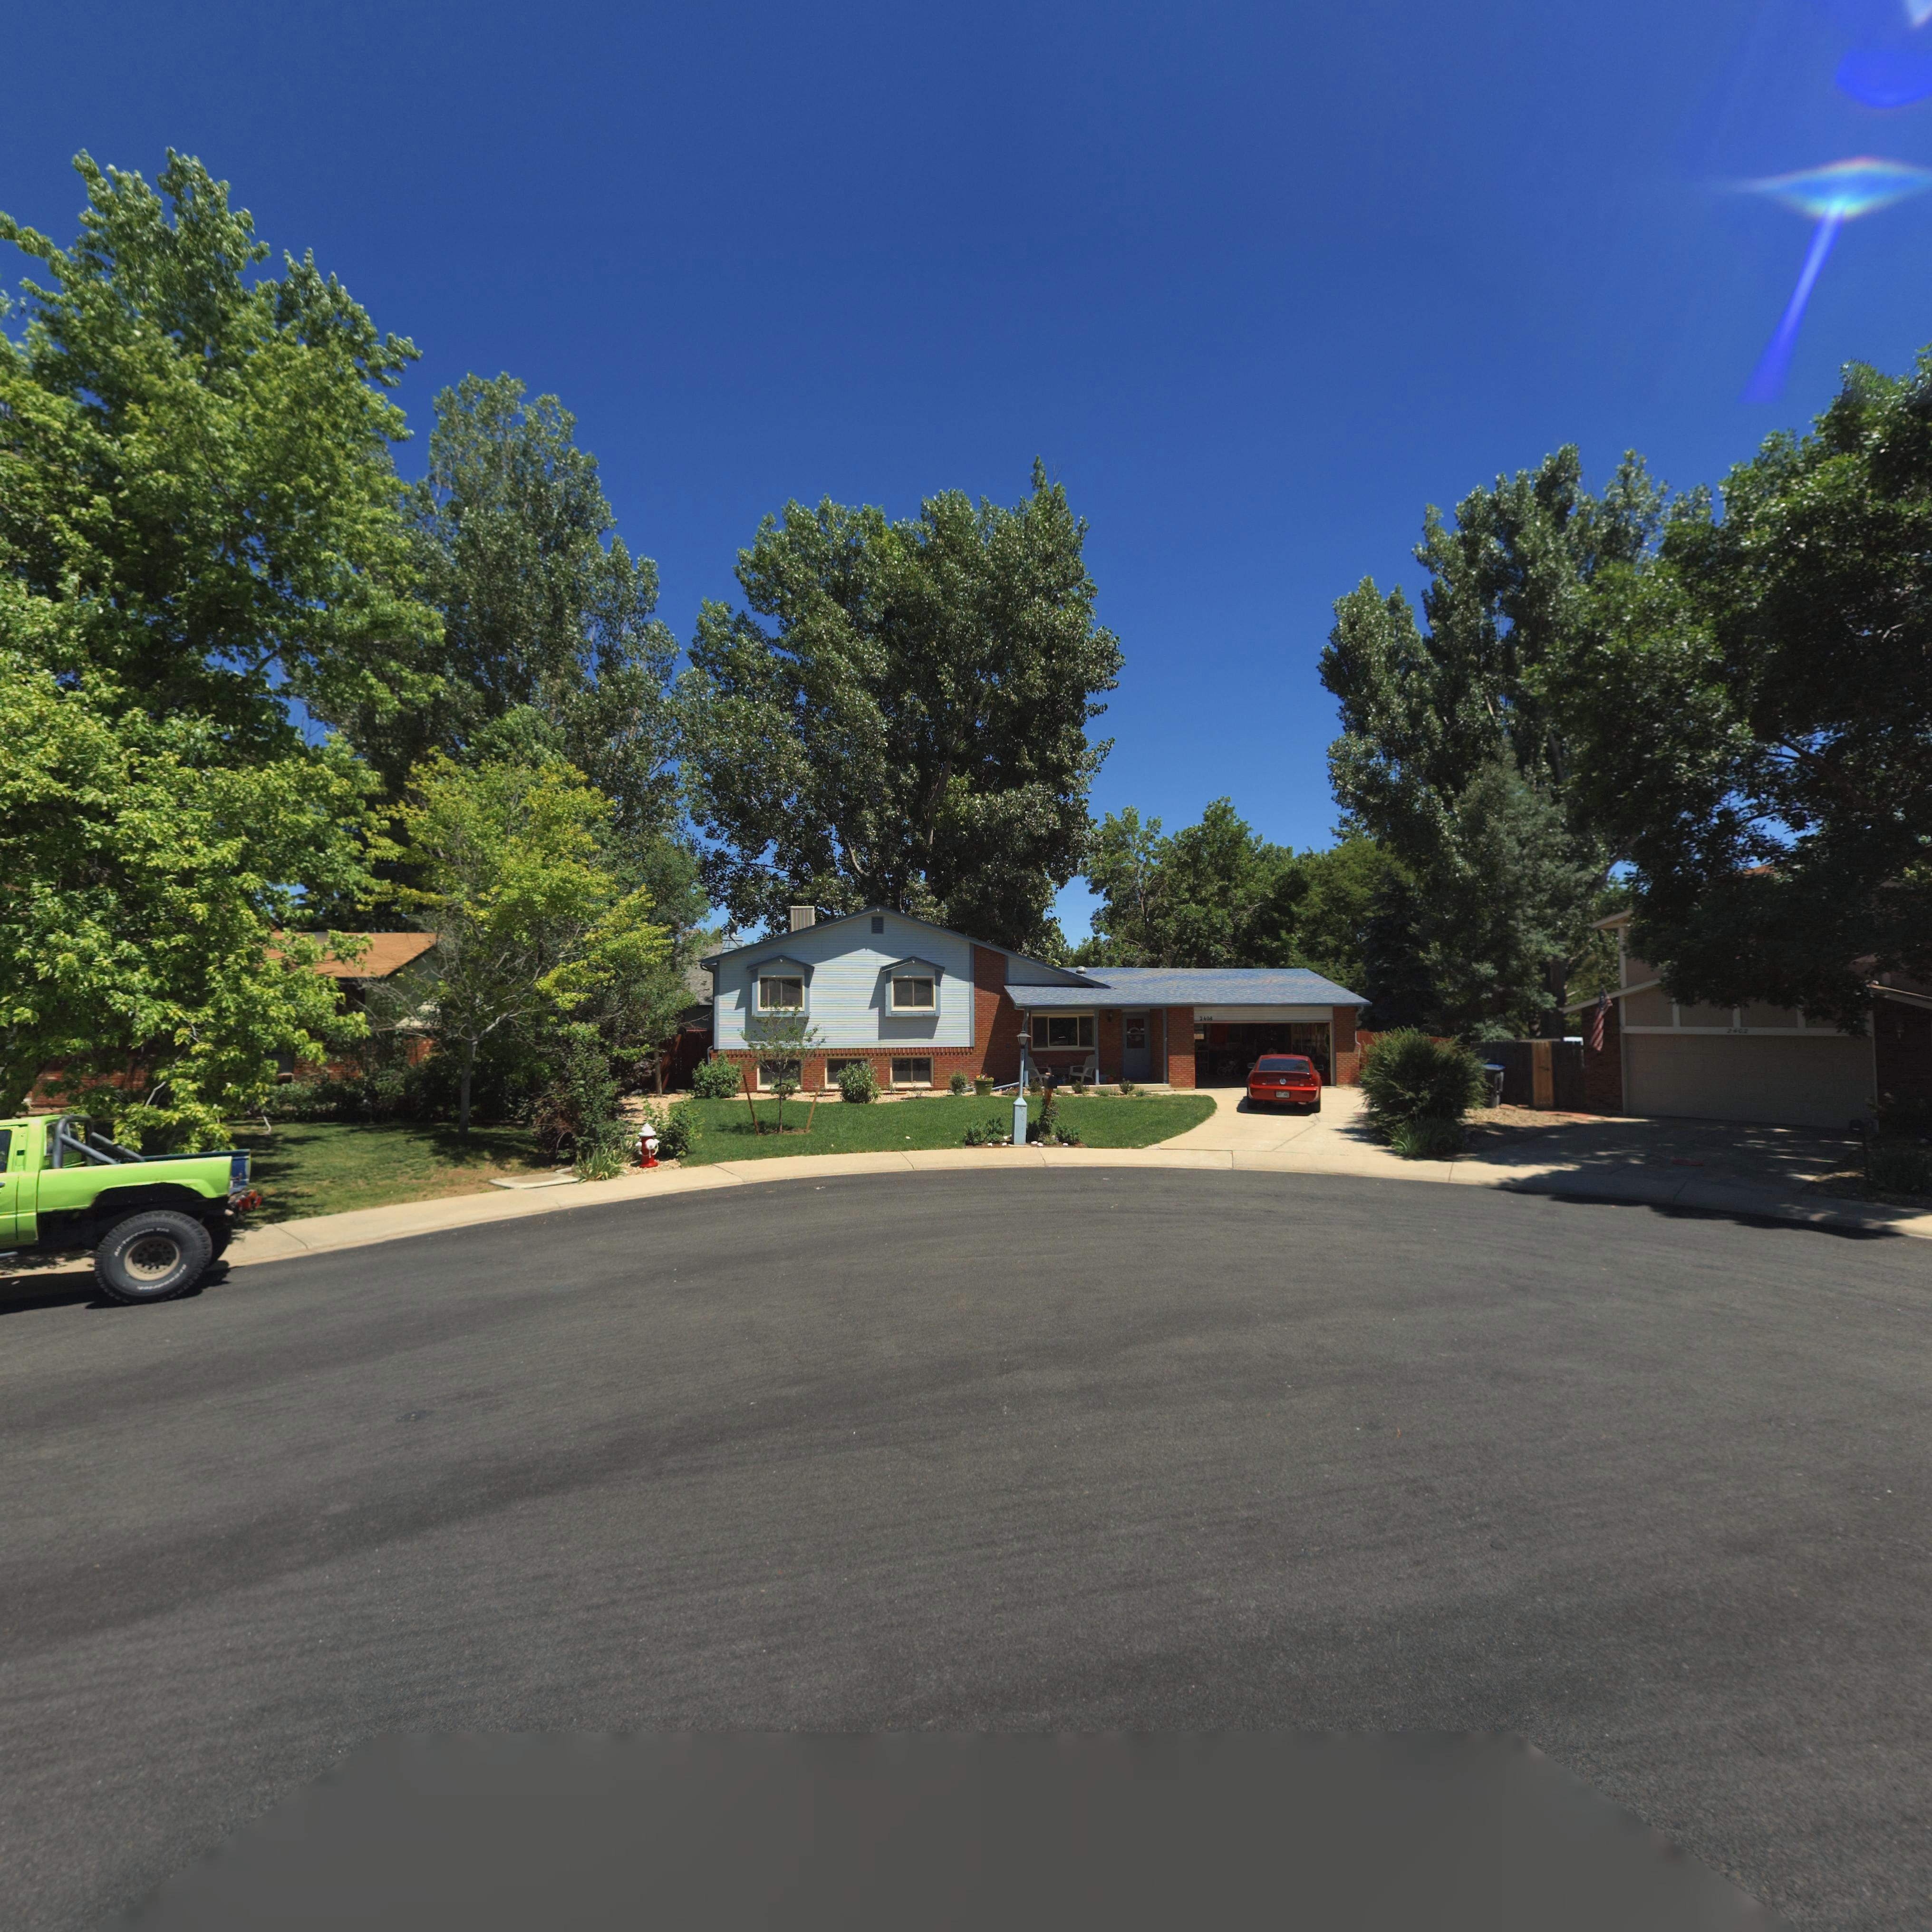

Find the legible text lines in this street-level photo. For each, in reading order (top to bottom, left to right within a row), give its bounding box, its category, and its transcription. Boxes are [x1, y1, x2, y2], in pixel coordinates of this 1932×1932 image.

[1199, 1016, 1213, 1021] StreetNumber: 2408
[1725, 1027, 1749, 1034] StreetNumber: 2402